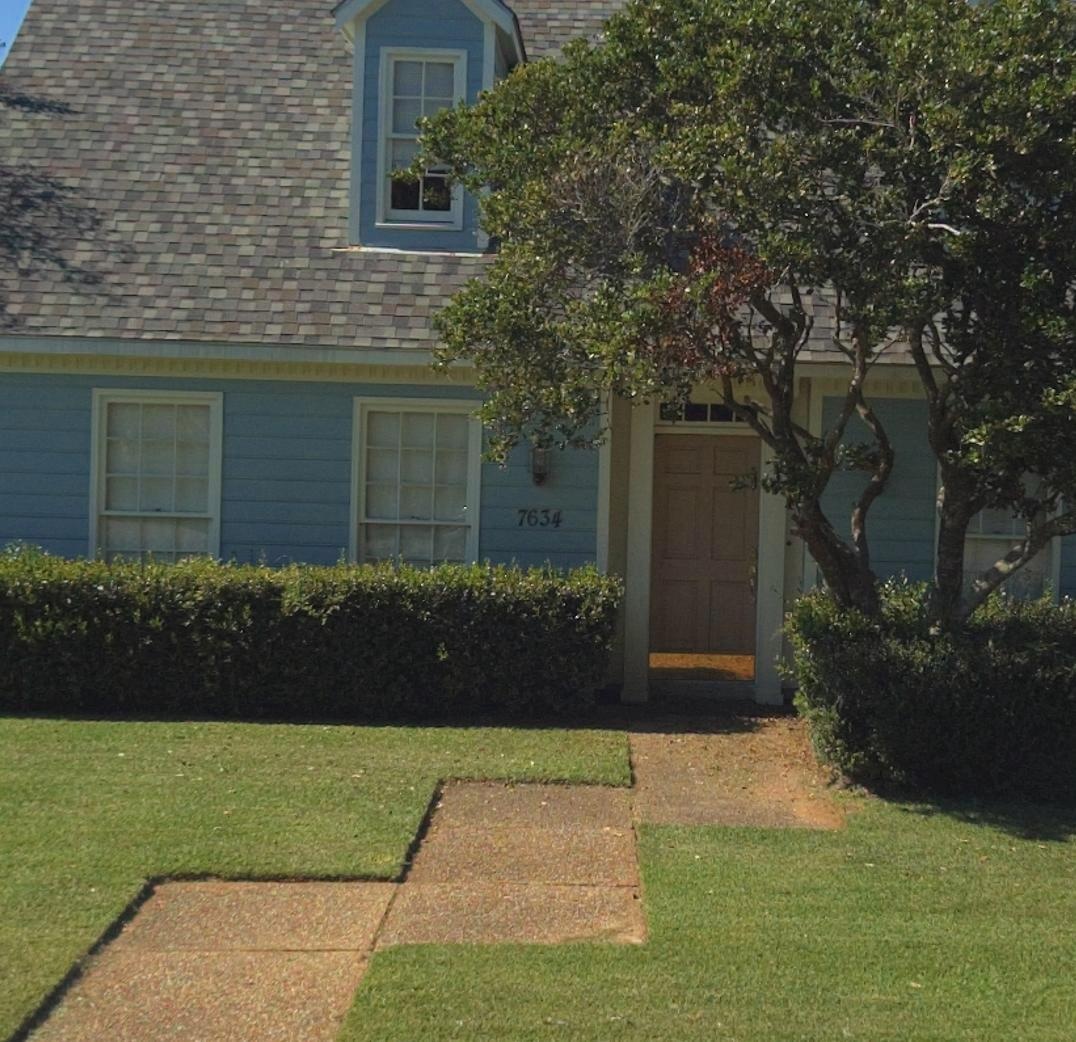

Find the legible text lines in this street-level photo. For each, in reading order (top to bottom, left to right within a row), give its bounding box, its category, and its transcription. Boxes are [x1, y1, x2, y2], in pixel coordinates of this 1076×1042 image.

[516, 508, 563, 527] StreetNumber: 7634